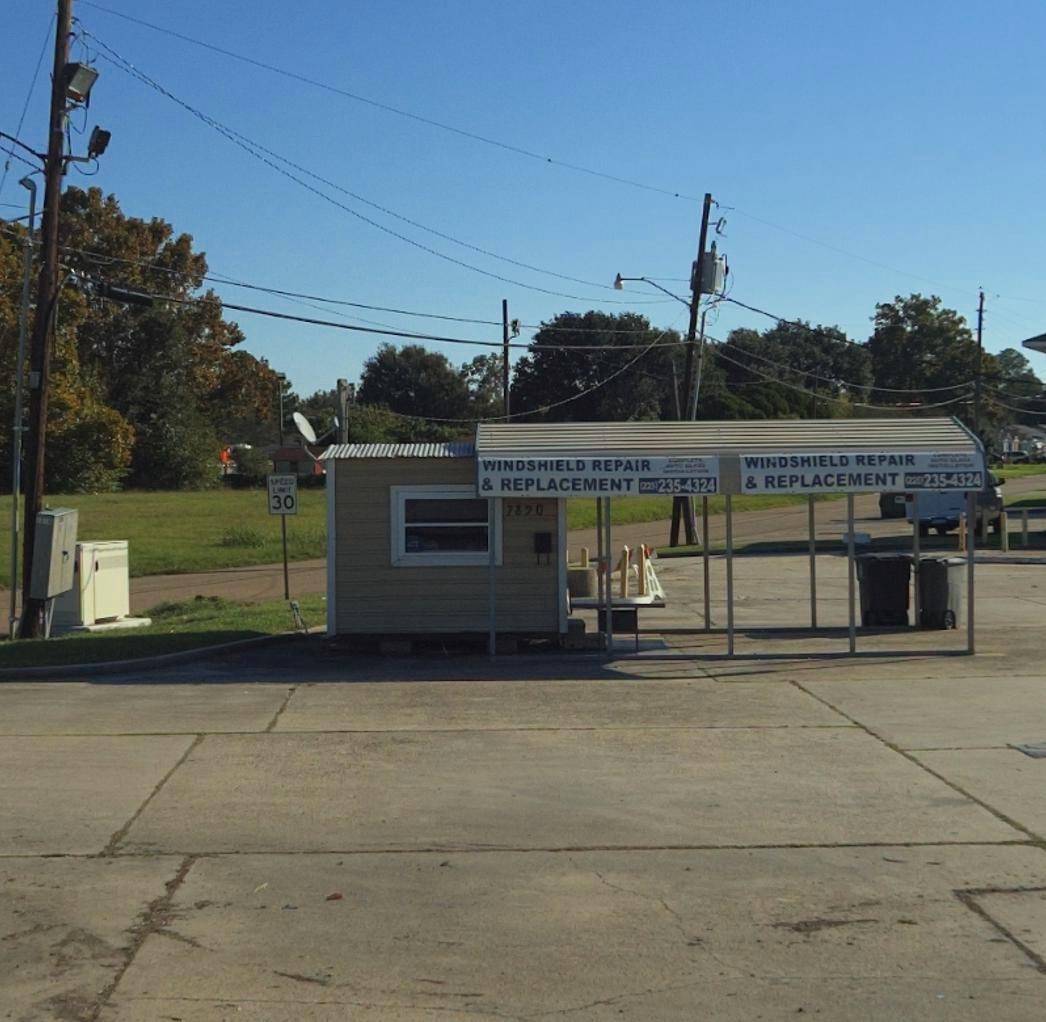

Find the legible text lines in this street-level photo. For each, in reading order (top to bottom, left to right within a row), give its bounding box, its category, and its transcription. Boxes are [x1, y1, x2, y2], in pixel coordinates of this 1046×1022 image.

[479, 455, 651, 475] None: WINDSHIELD REPAIR
[740, 451, 917, 470] None: WINDSHIELD REPAIR
[270, 484, 293, 496] None: LIMIT
[268, 475, 297, 487] None: SPEED
[479, 475, 637, 493] None: & REPLACEMENT
[637, 478, 654, 490] None: 1325
[655, 474, 717, 493] None: 235-4324
[741, 471, 900, 491] None: & REPLACEMNT
[921, 470, 983, 489] None: 235-4324
[270, 492, 296, 512] None: 30
[502, 500, 546, 519] StreetNumber: 7890